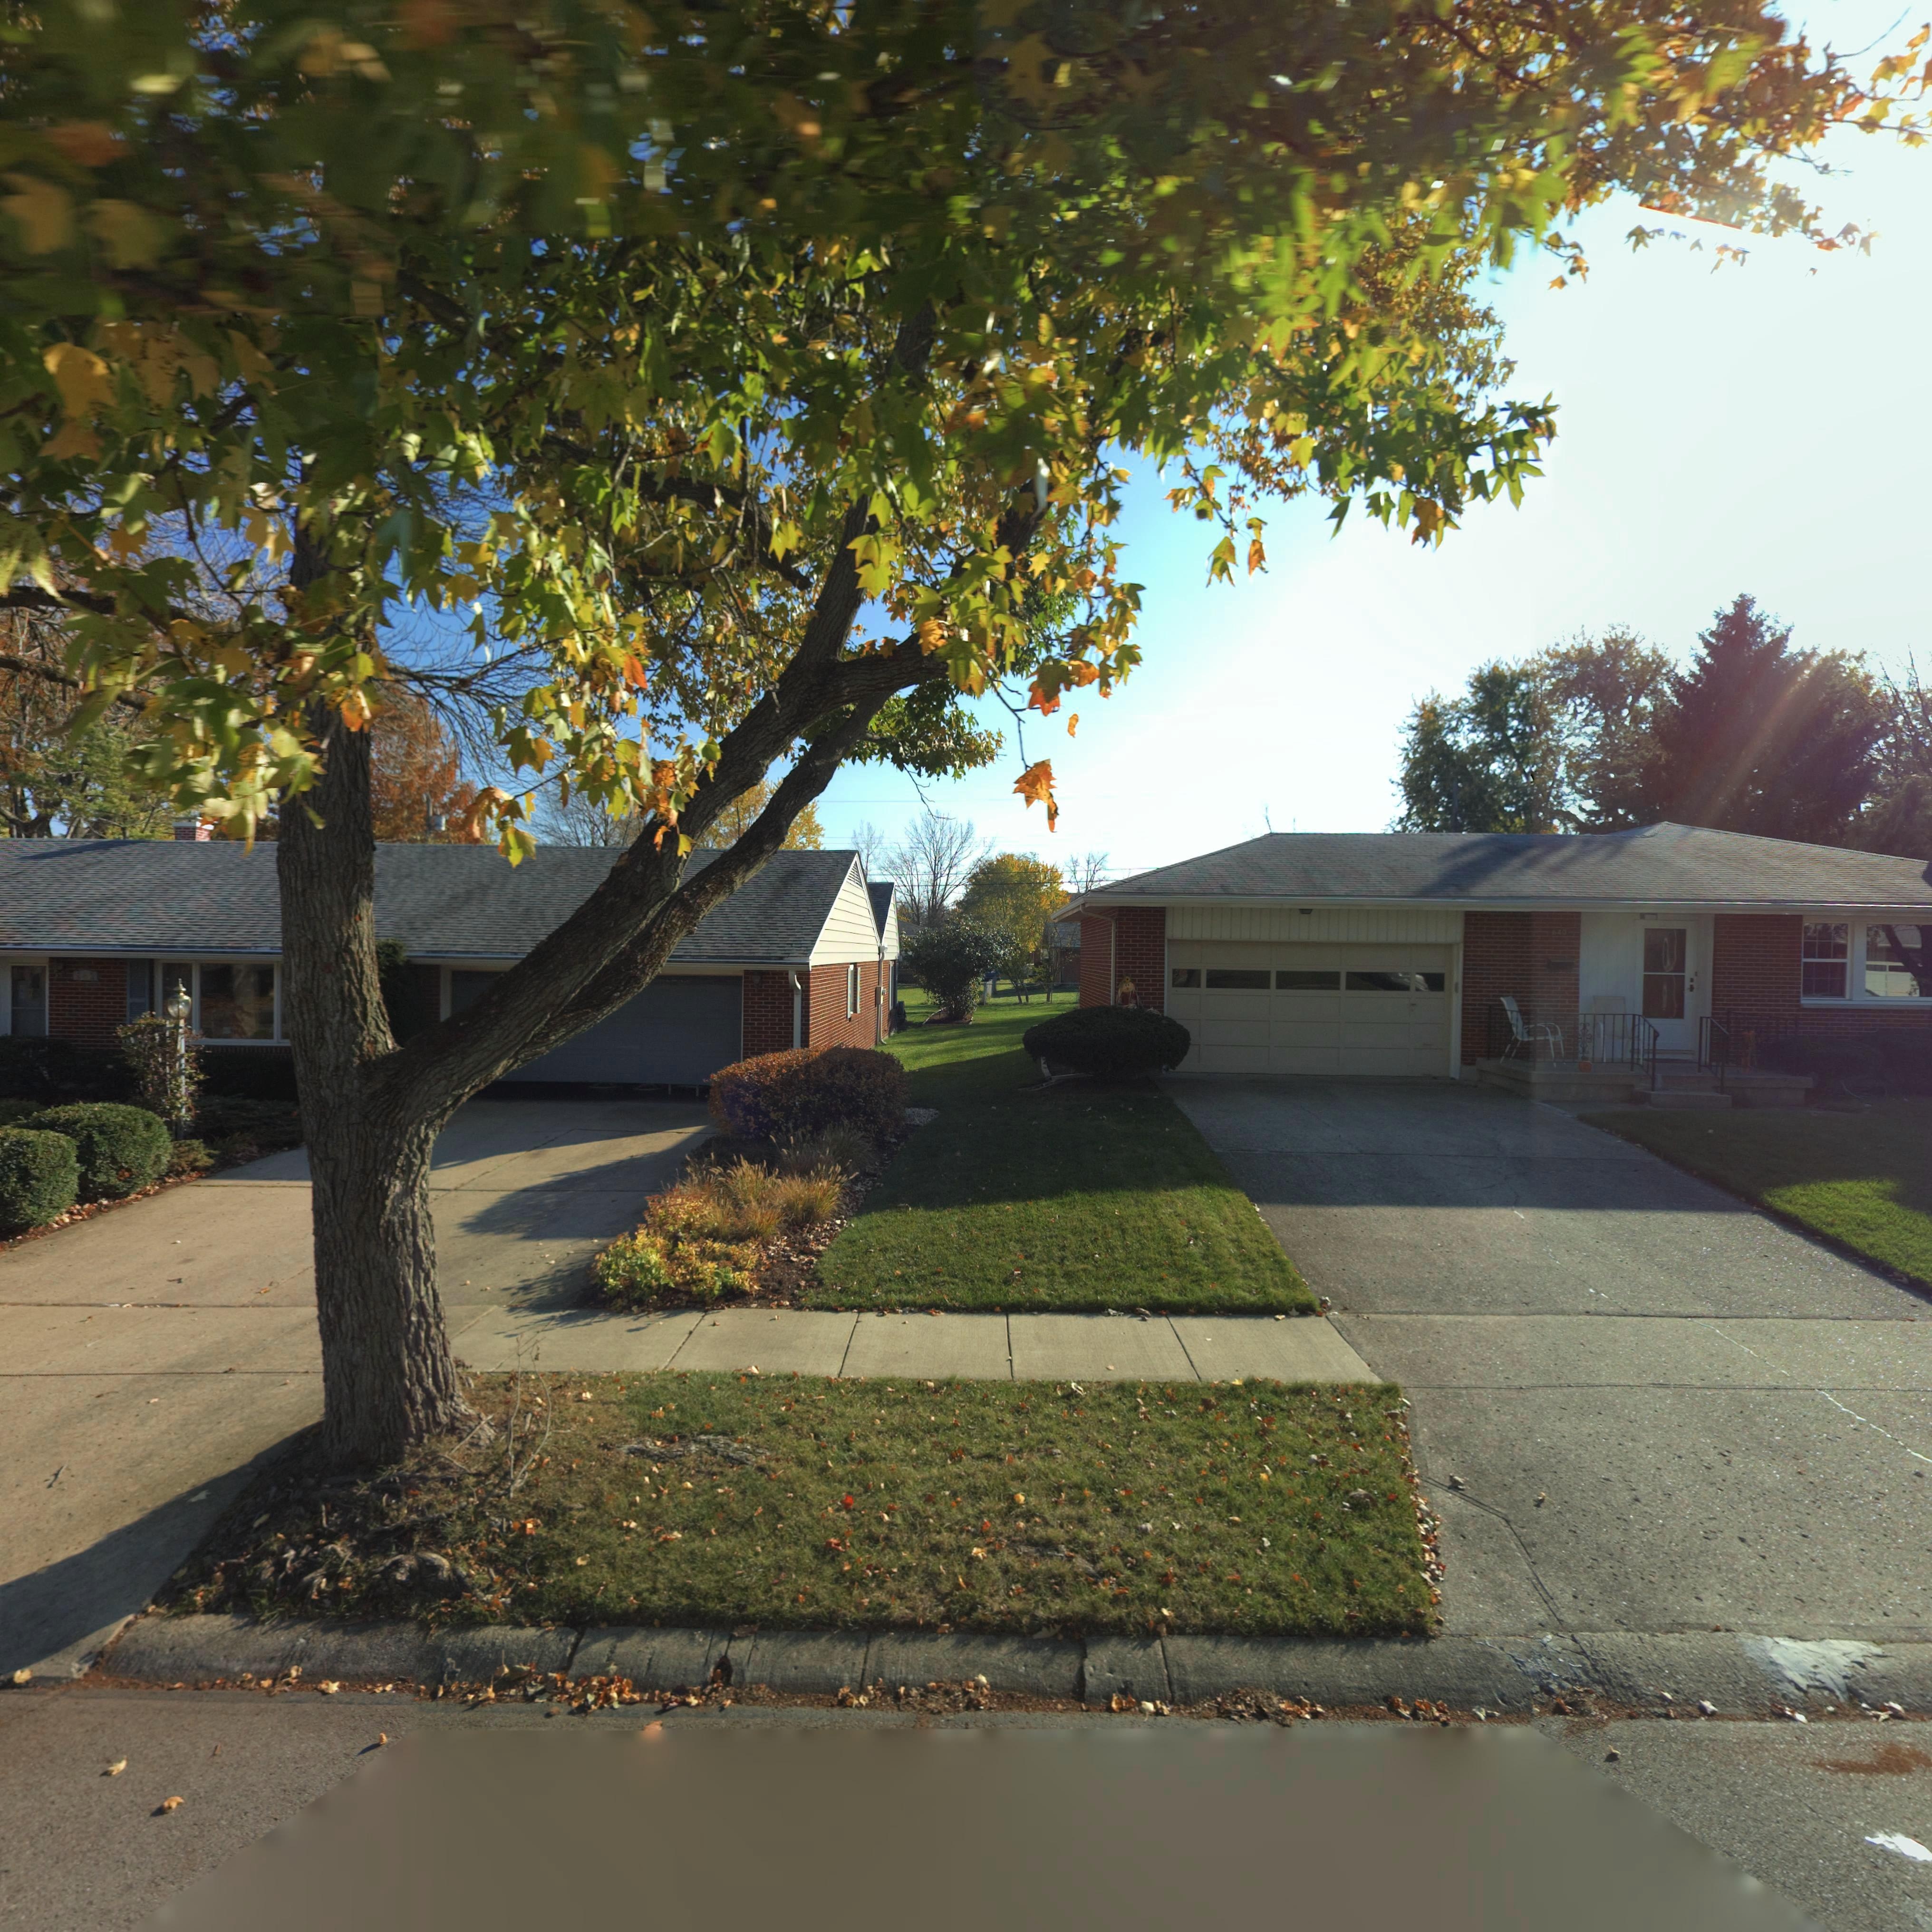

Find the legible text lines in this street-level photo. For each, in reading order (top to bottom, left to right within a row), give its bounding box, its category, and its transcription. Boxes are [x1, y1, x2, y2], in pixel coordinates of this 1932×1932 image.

[1551, 929, 1567, 936] StreetNumber: 640